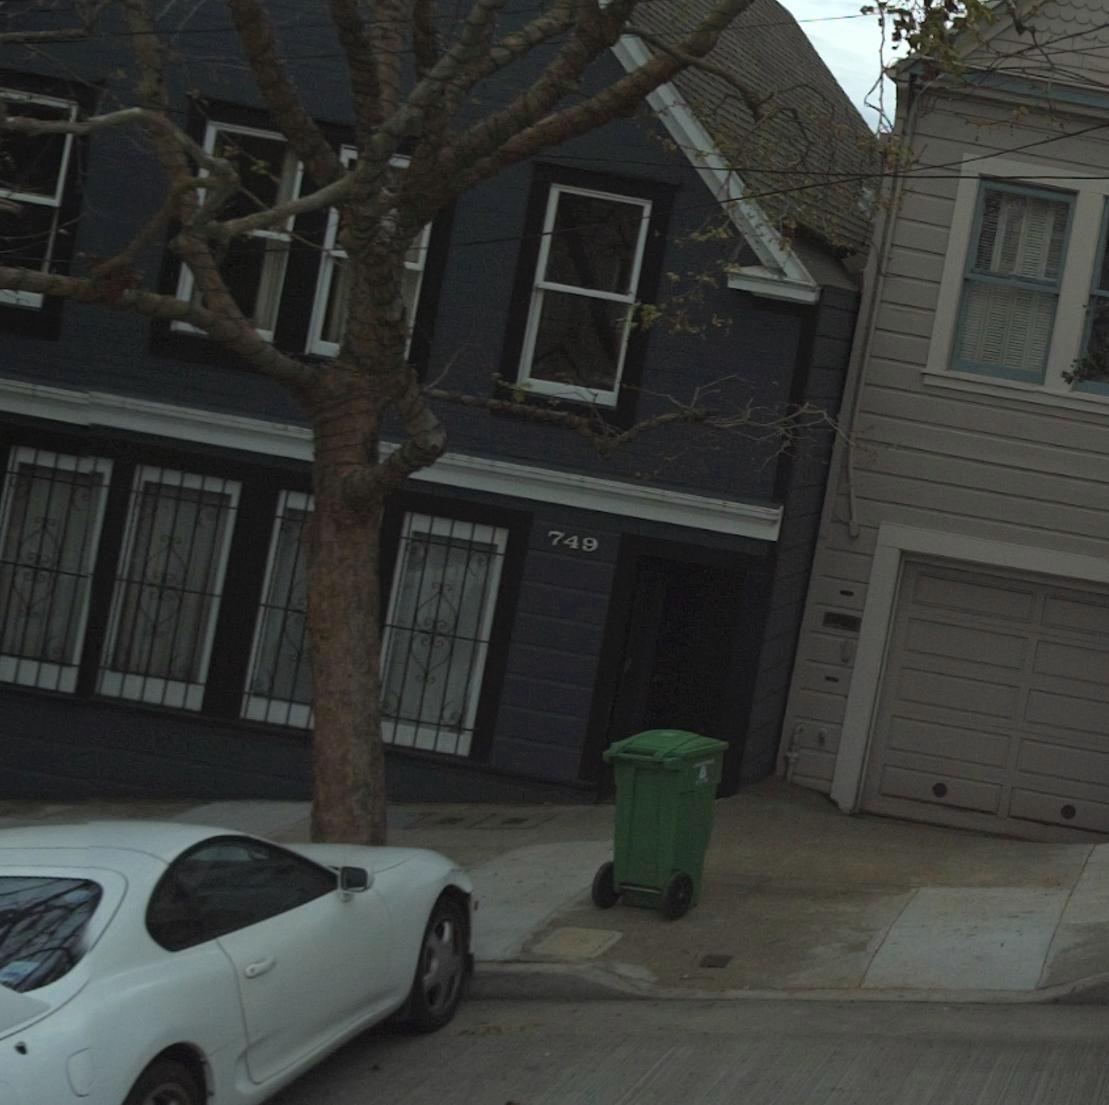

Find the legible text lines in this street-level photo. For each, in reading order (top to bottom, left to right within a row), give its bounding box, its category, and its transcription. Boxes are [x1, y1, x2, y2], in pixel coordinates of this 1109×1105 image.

[546, 529, 602, 554] StreetNumber: 749